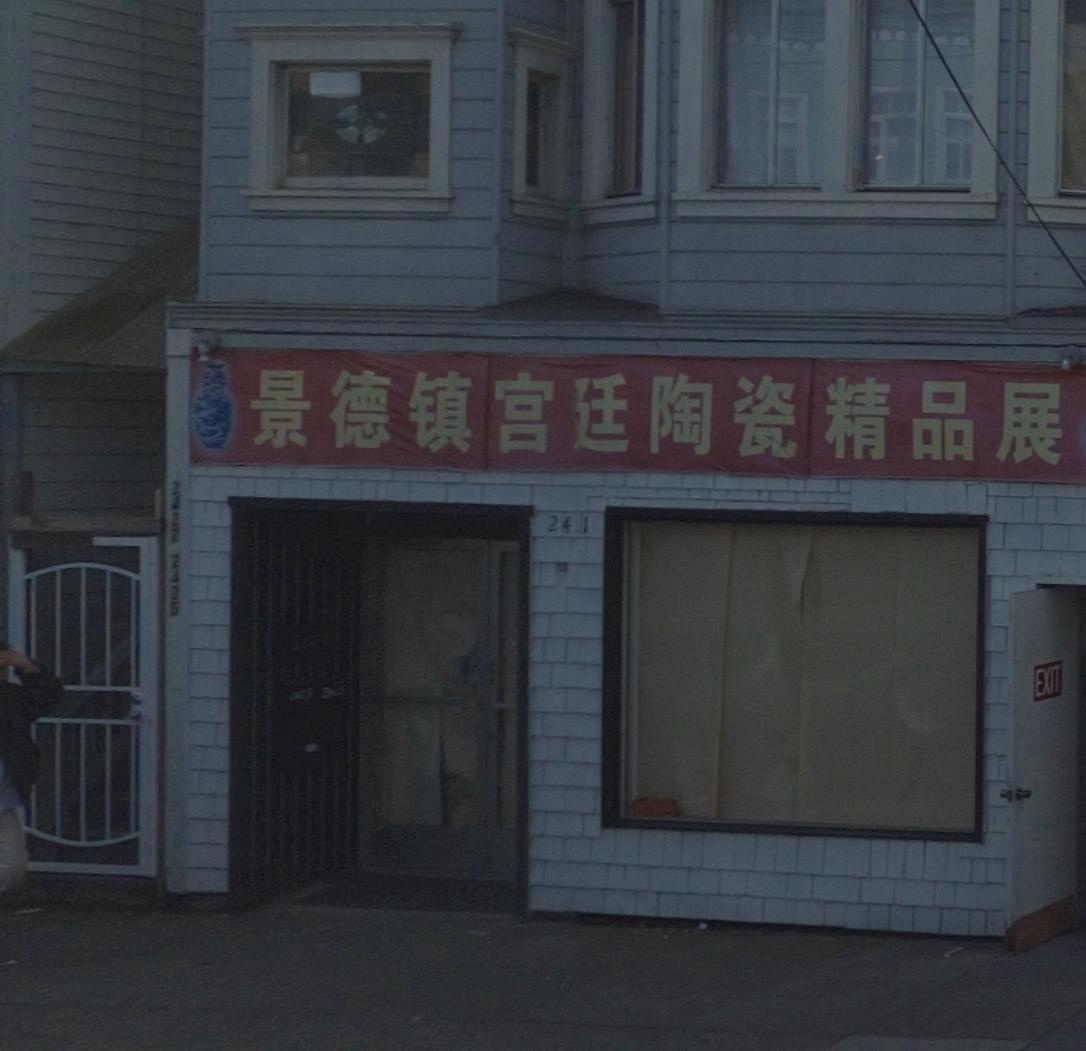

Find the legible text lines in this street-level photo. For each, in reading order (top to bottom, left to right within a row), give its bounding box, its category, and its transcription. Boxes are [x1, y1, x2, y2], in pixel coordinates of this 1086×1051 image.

[544, 513, 590, 536] StreetNumber: 24*1
[168, 477, 183, 621] None: **27 2485
[1033, 661, 1062, 700] None: EXIT